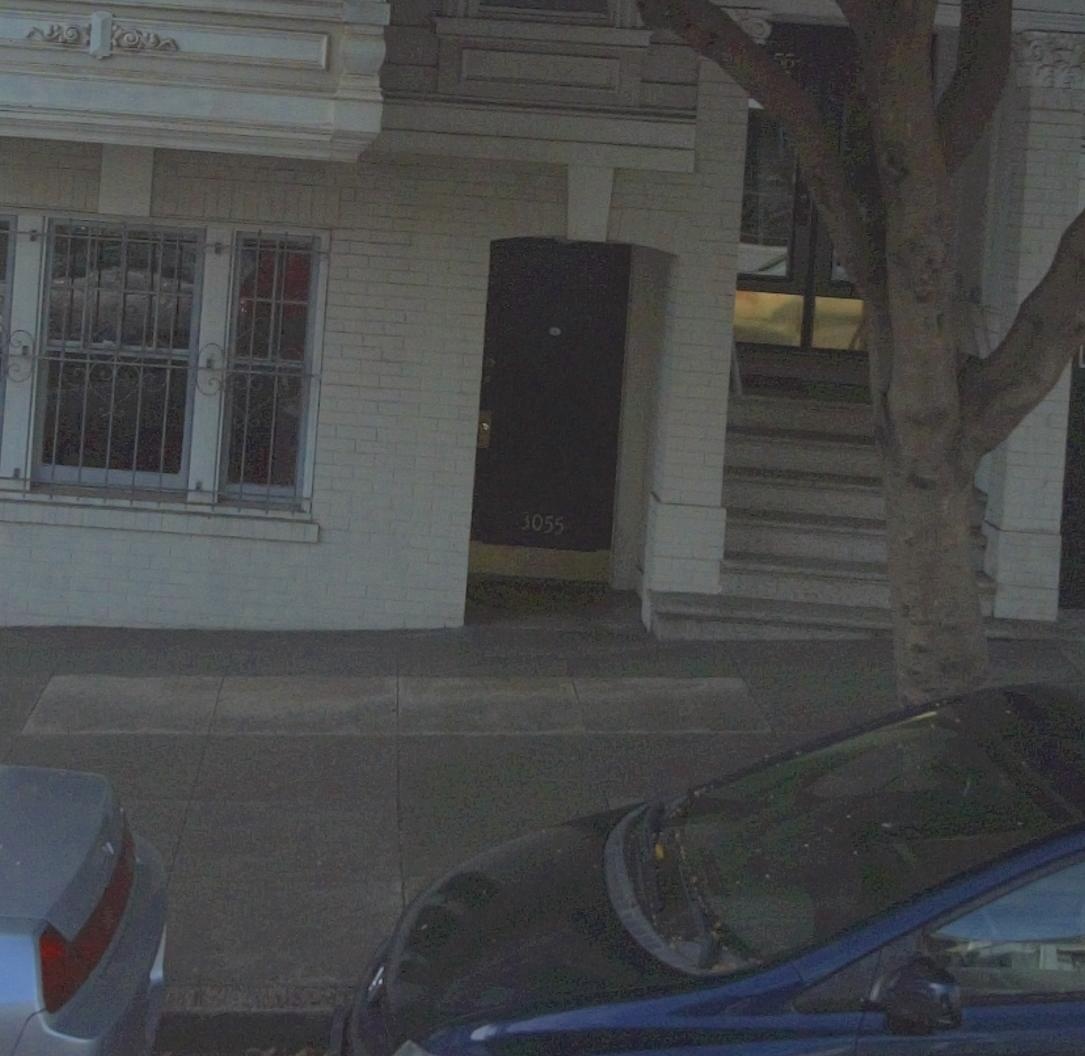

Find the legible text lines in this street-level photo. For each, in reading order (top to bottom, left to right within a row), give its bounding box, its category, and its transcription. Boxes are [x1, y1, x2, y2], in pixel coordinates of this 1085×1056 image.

[515, 507, 569, 540] StreetNumber: 3055